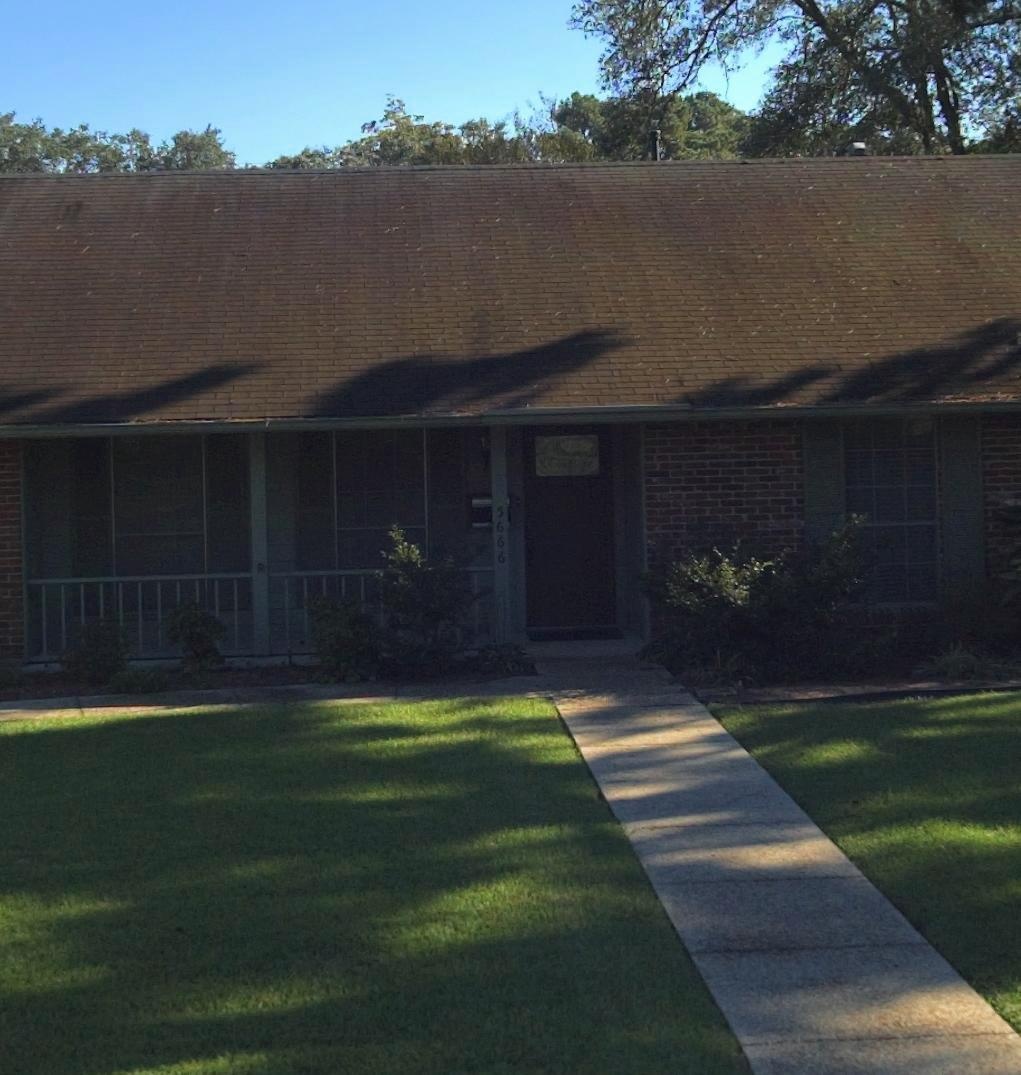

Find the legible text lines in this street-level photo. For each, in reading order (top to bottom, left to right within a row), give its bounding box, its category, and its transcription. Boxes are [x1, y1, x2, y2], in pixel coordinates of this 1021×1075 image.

[494, 504, 508, 566] StreetNumber: 5666